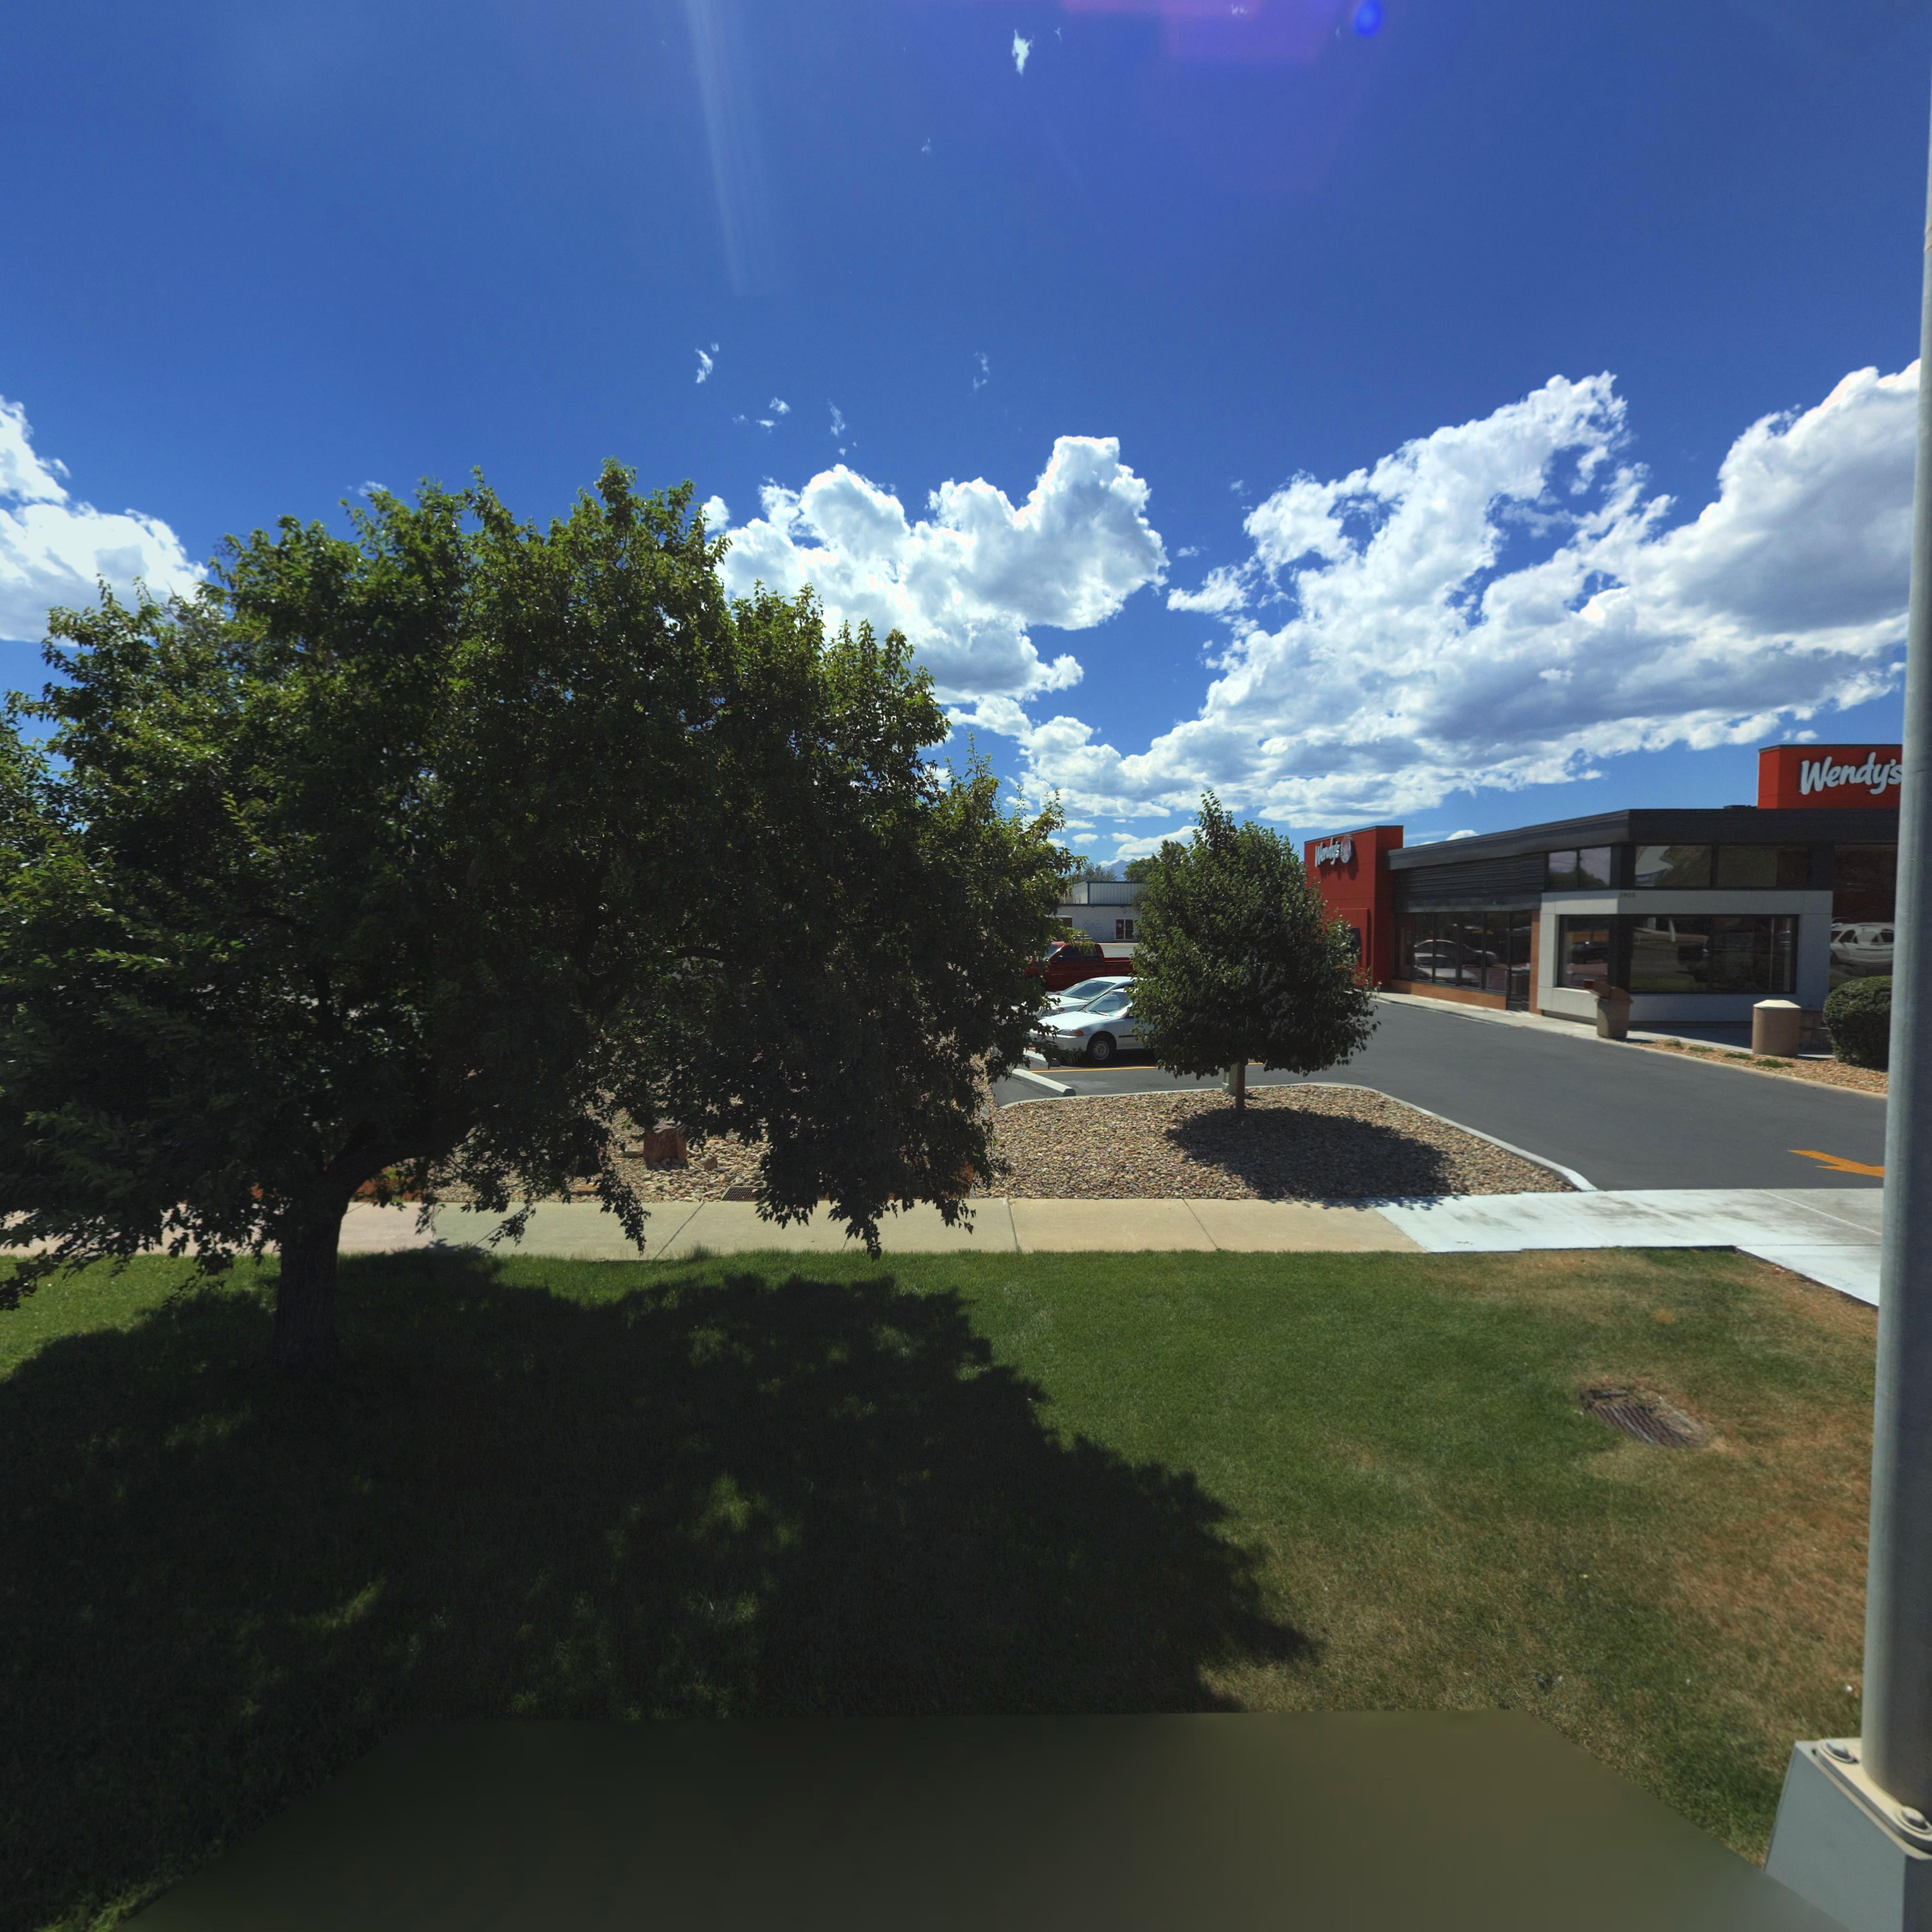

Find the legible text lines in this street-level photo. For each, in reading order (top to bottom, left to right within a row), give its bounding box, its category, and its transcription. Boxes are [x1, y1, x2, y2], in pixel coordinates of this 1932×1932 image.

[1799, 750, 1903, 796] BusinessName: Wendy's
[1314, 837, 1342, 868] BusinessName: Wendy's
[1620, 892, 1635, 898] StreetNumber: 1***